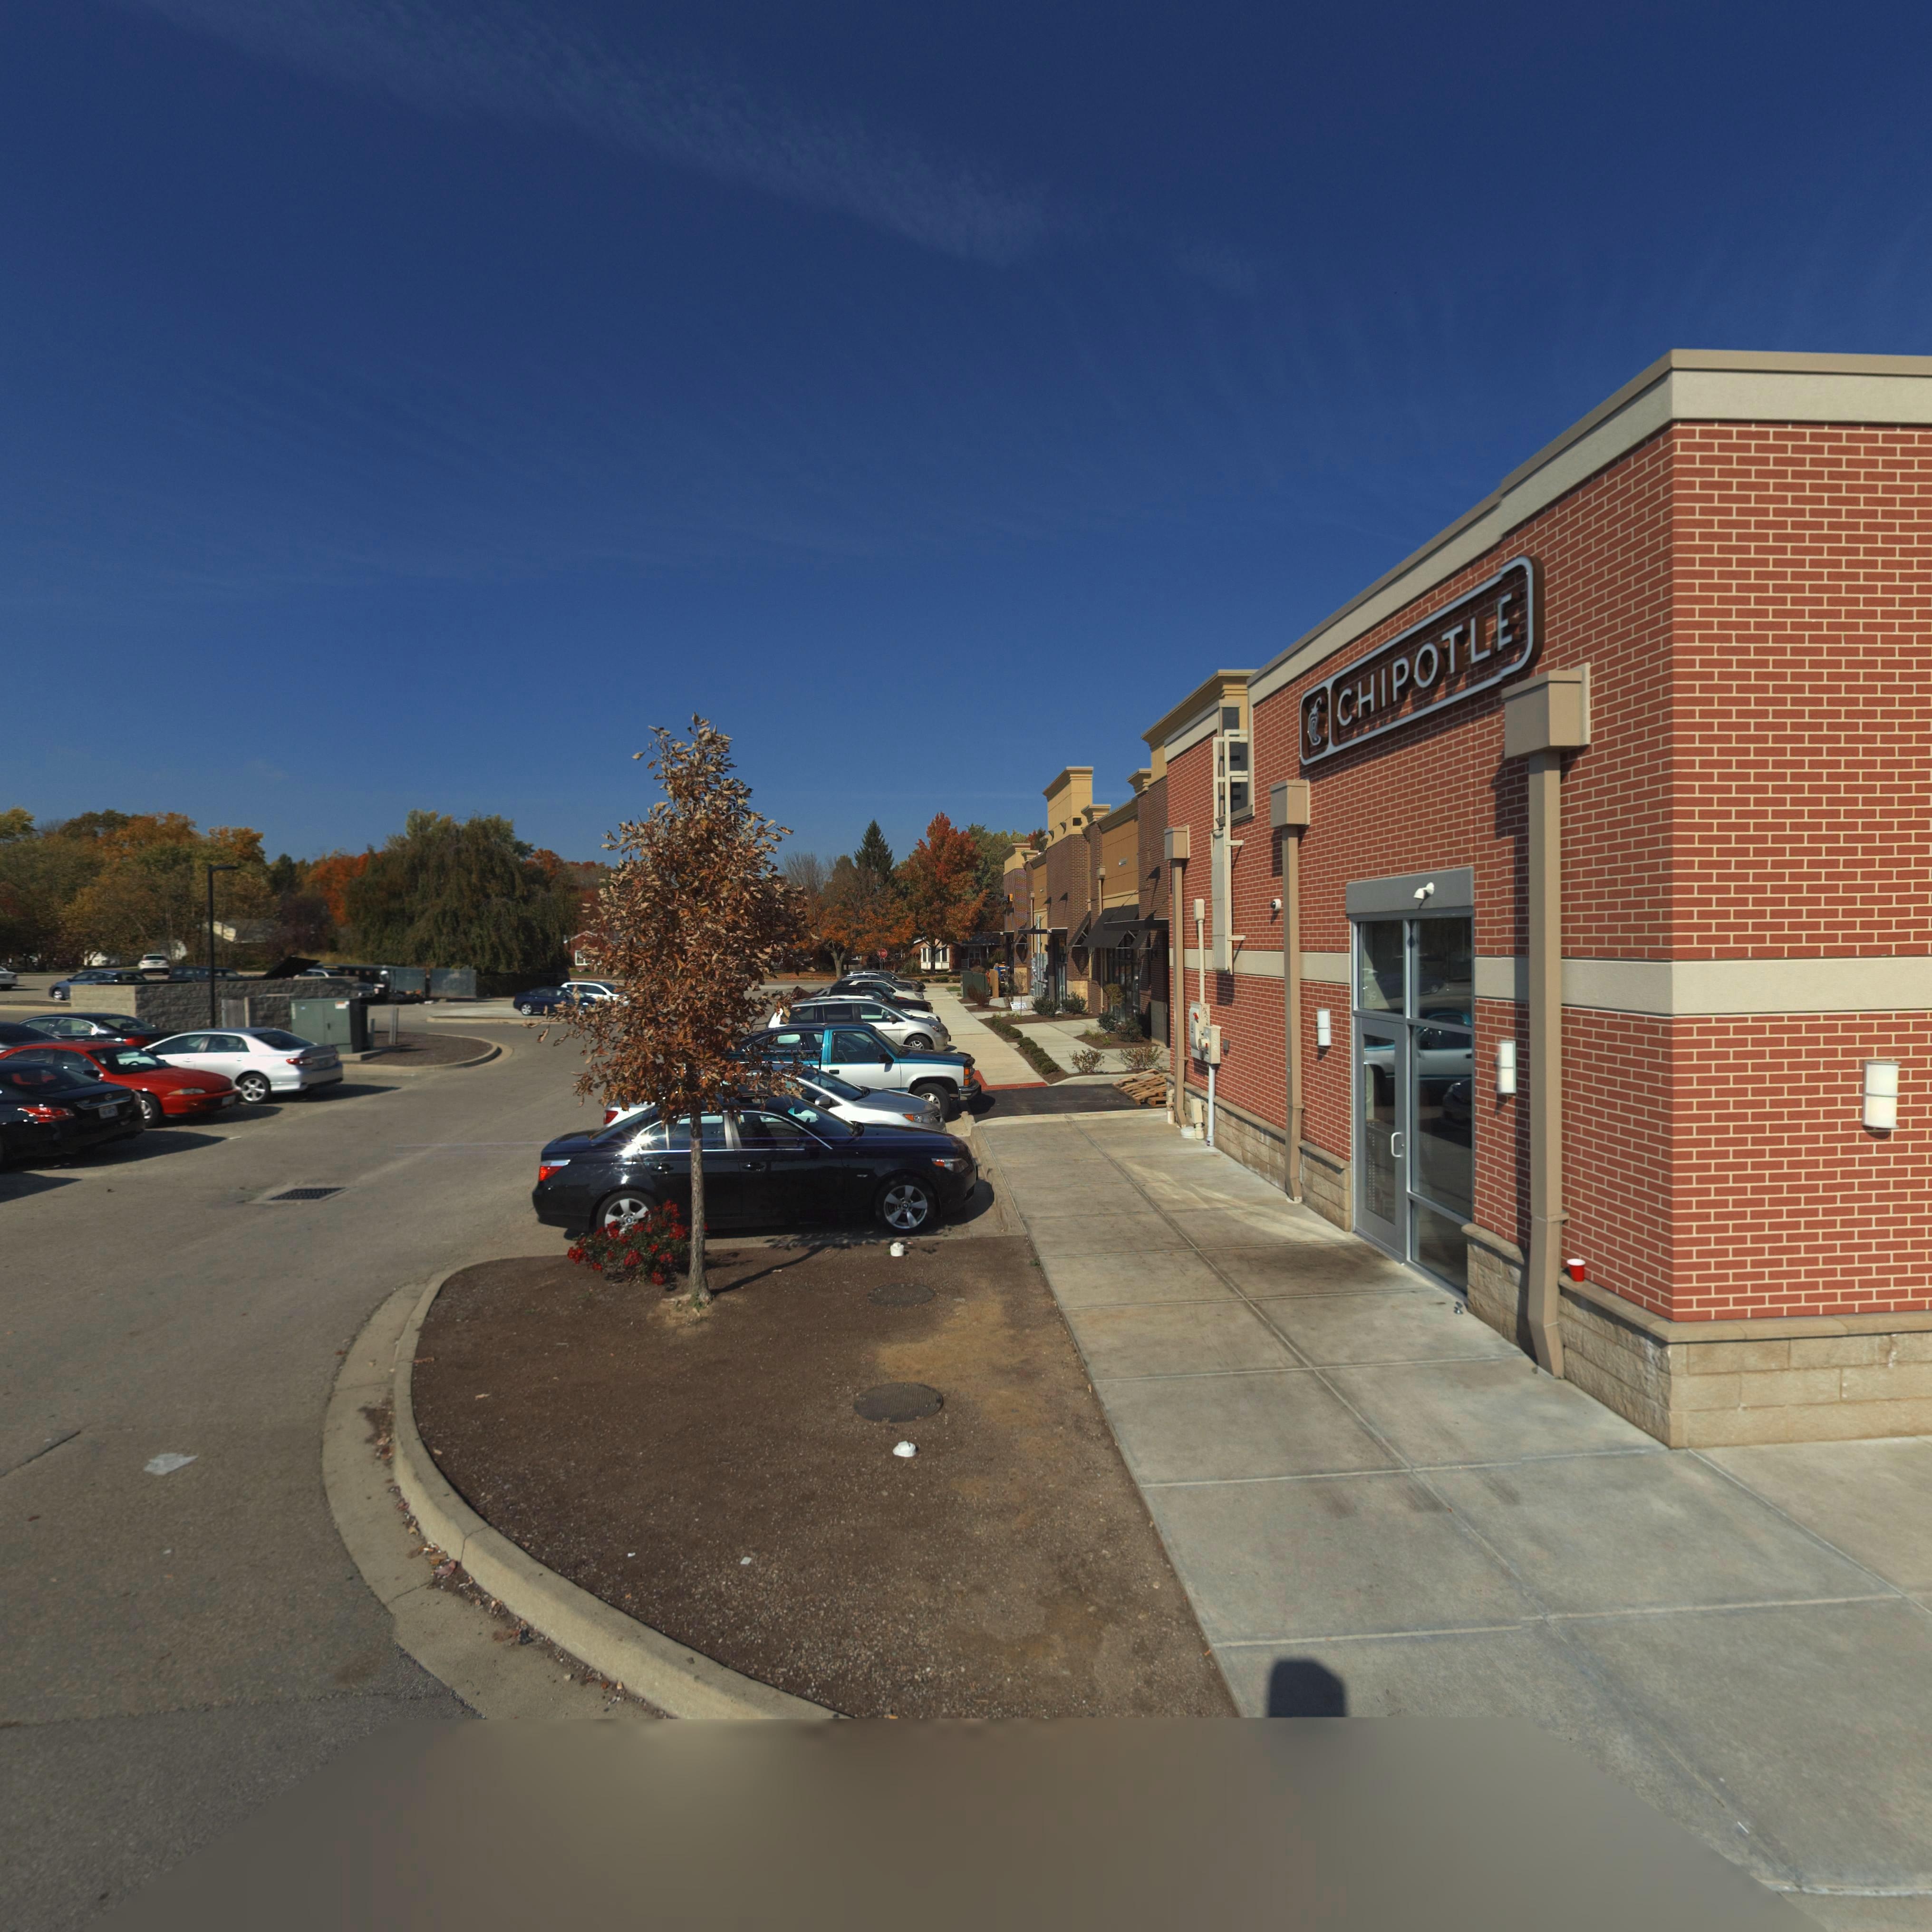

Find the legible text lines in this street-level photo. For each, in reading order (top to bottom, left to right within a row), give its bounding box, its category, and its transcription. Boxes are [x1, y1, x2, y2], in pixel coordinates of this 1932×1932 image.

[1335, 614, 1493, 729] BusinessName: CHIPOTL